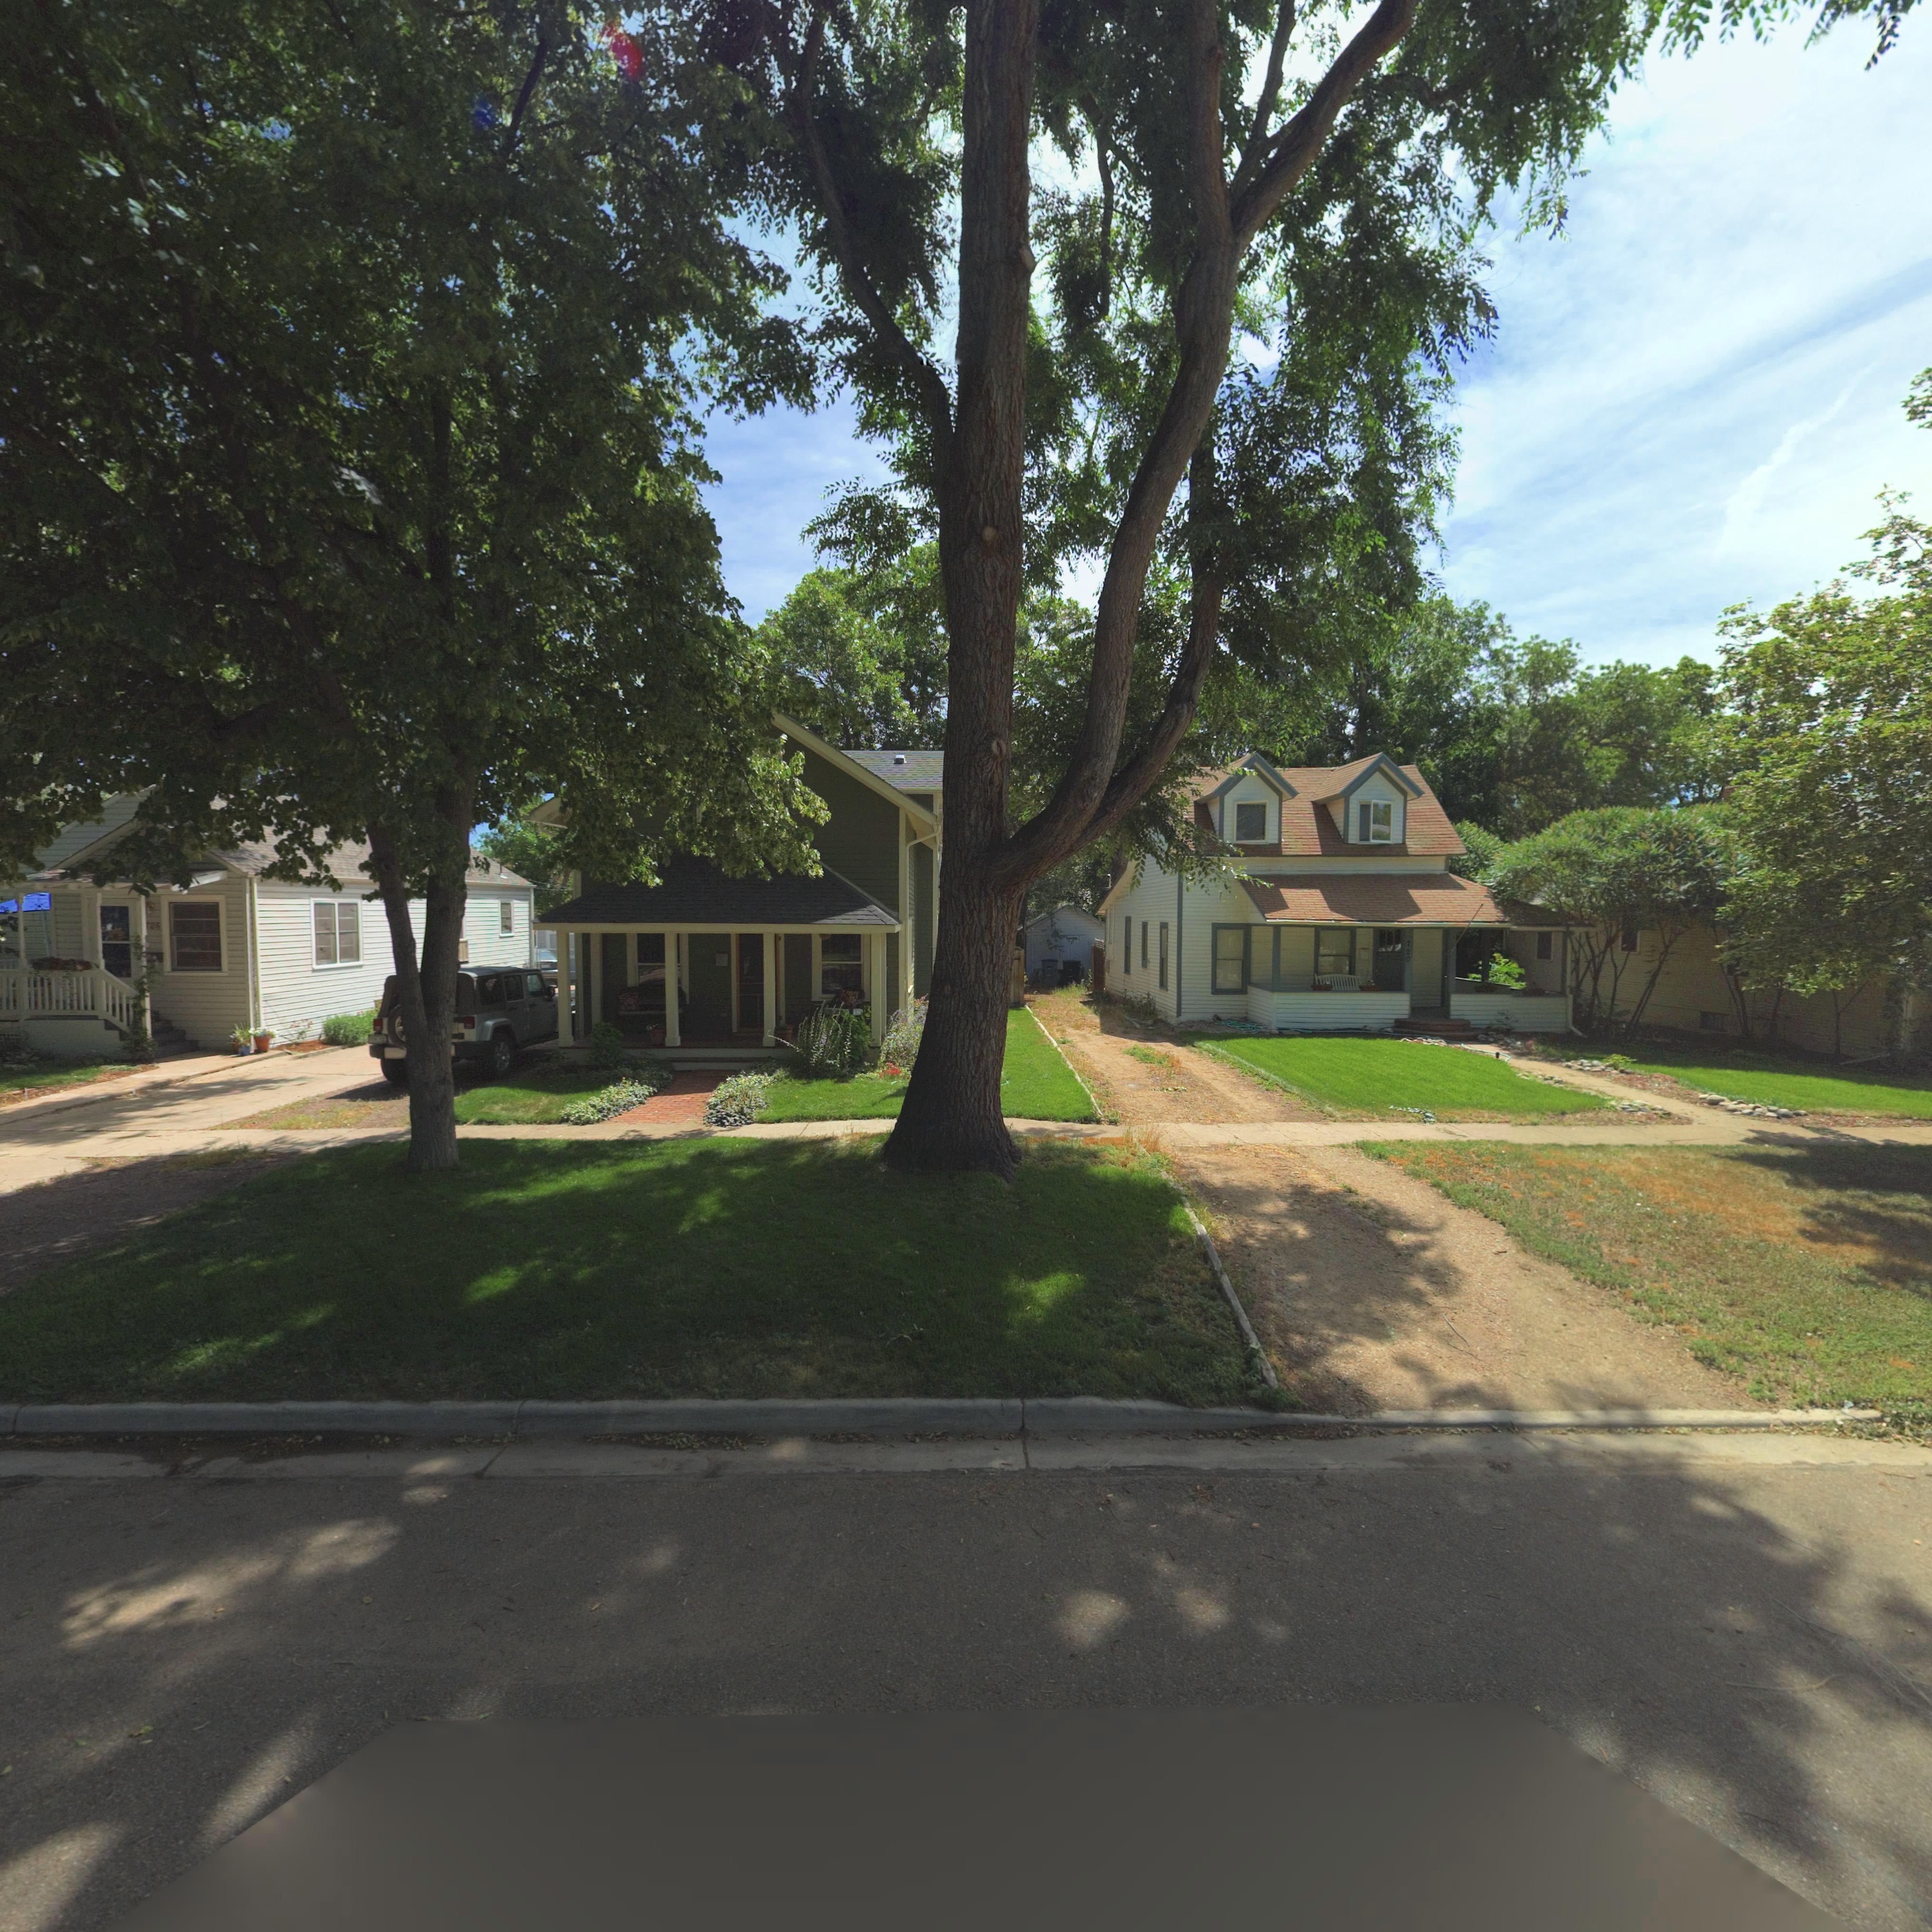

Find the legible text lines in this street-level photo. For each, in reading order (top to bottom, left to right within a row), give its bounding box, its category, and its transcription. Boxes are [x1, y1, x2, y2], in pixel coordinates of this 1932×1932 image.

[149, 921, 161, 930] StreetNumber: 25
[1405, 939, 1410, 963] StreetNumber: 720